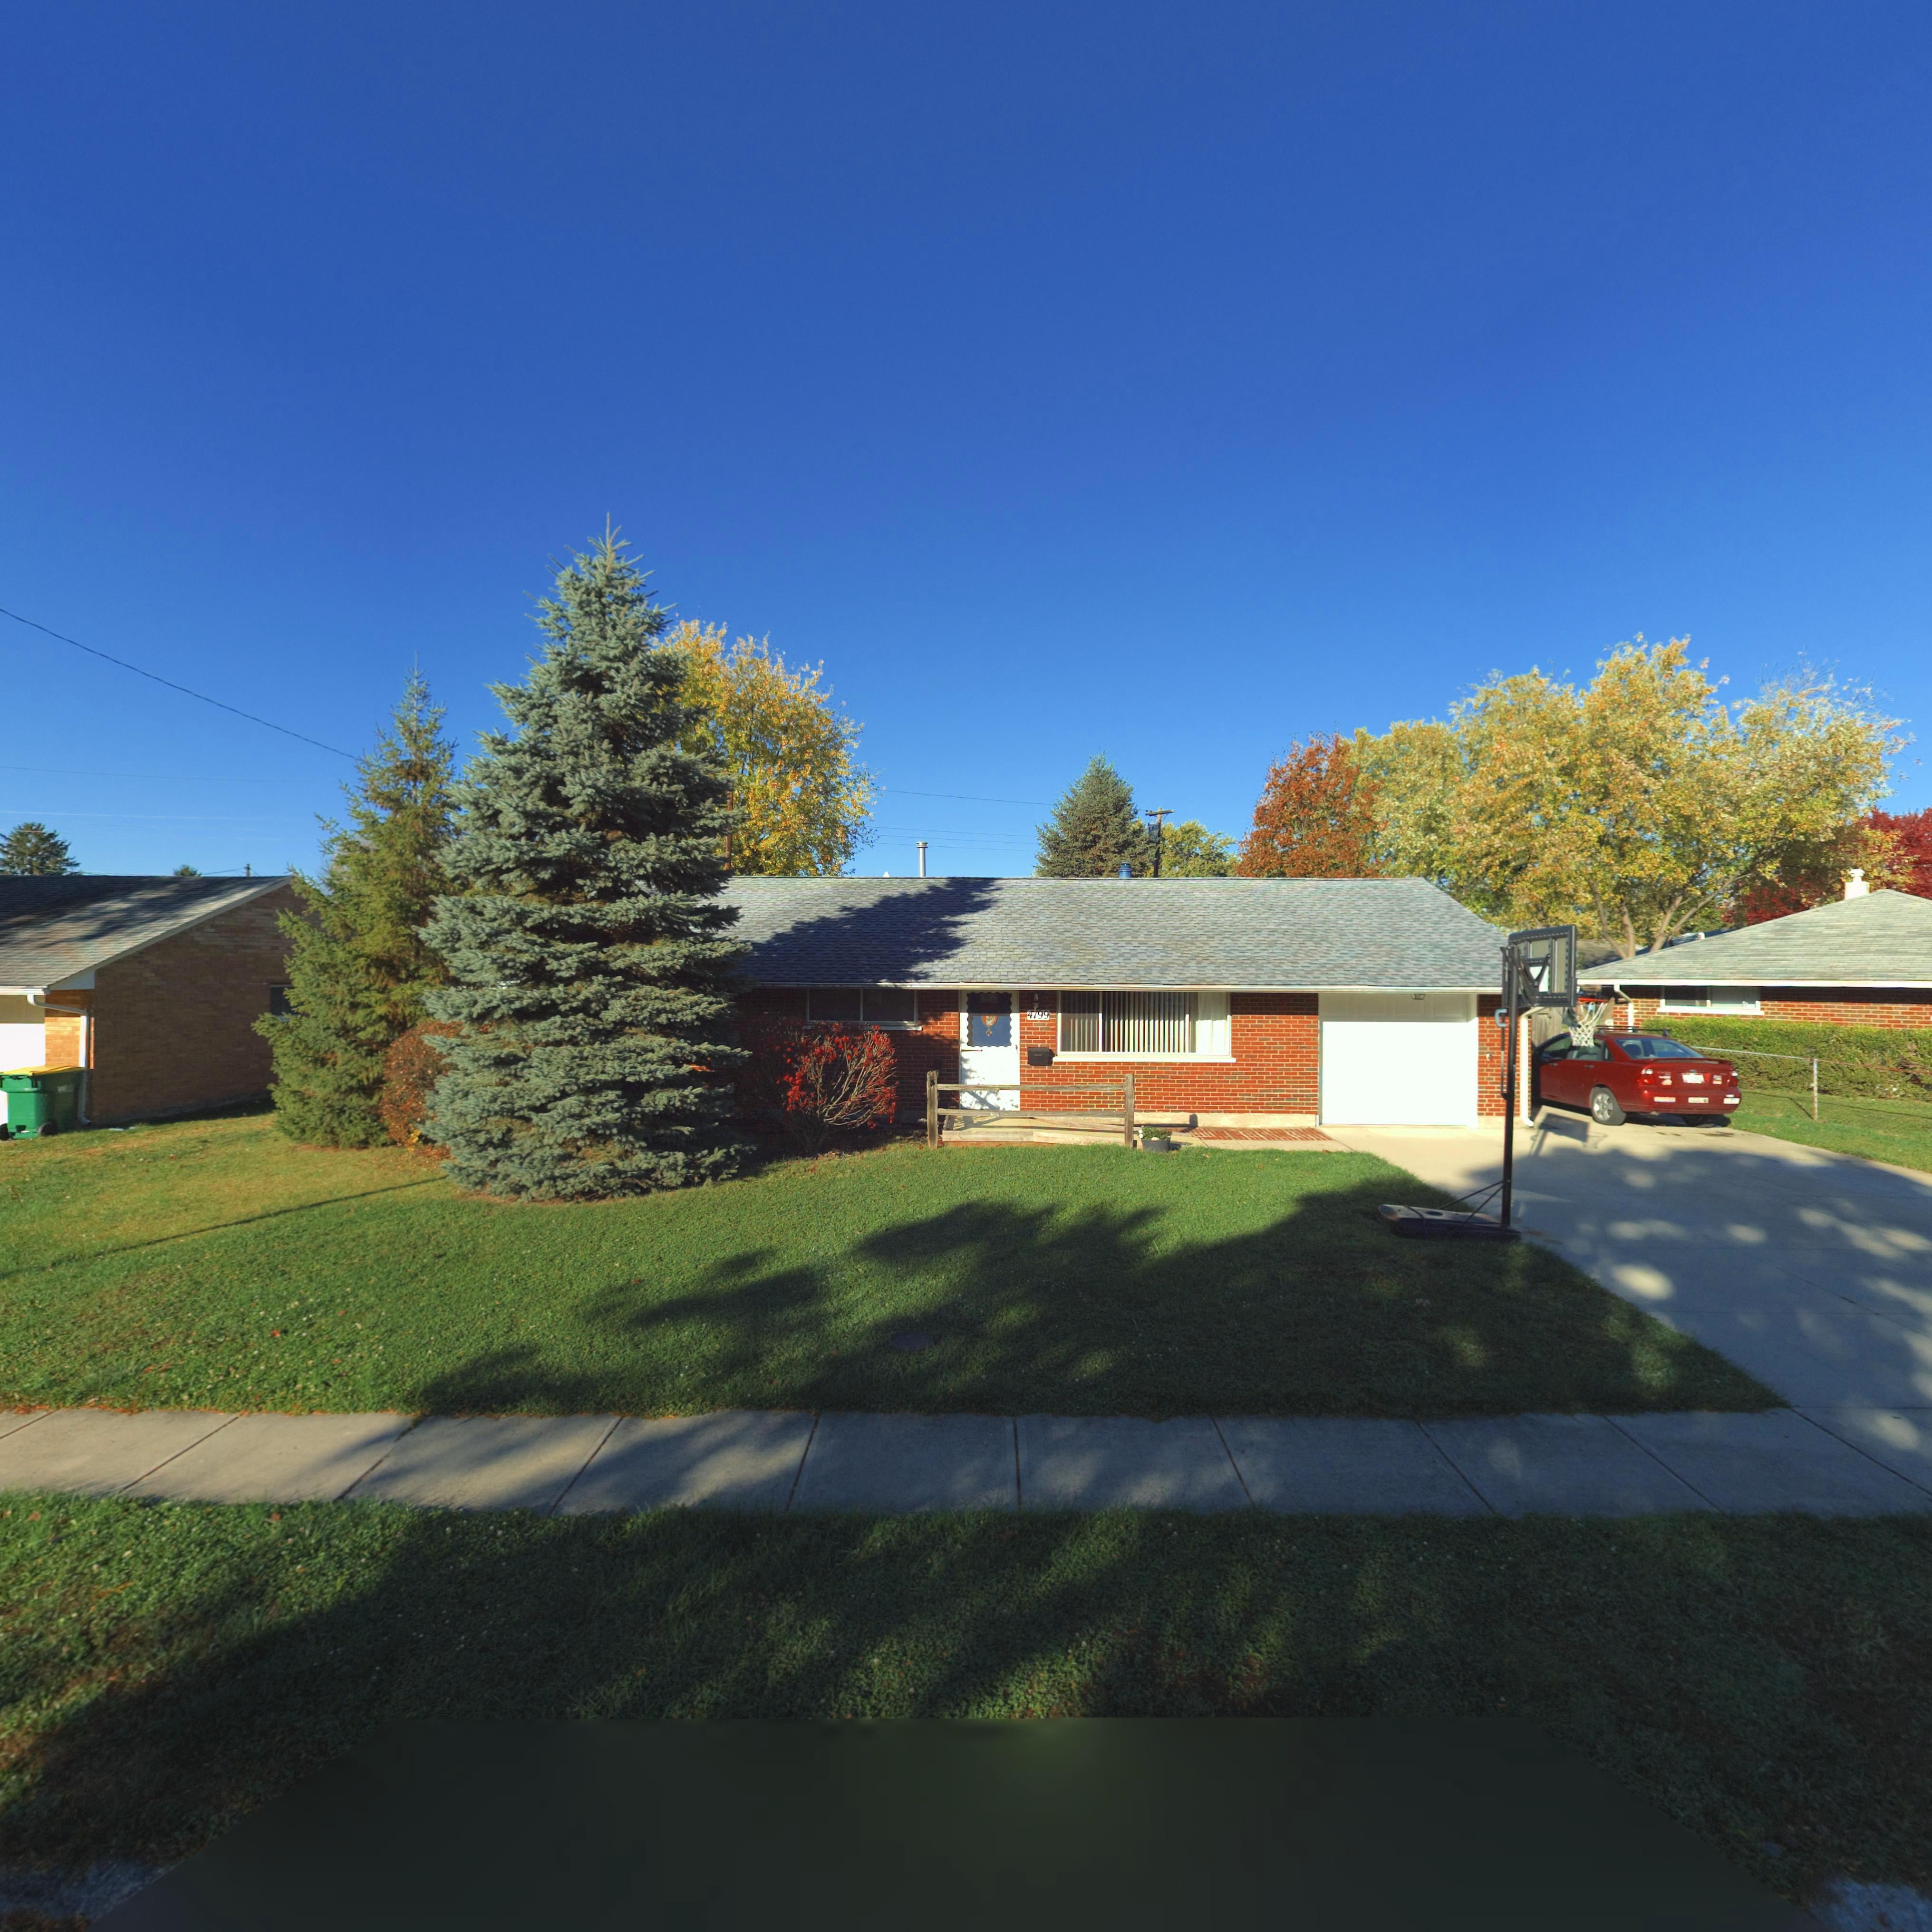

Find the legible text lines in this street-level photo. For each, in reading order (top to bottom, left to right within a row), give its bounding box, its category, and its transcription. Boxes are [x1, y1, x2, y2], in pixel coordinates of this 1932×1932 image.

[1027, 1009, 1050, 1020] StreetNumber: 4799